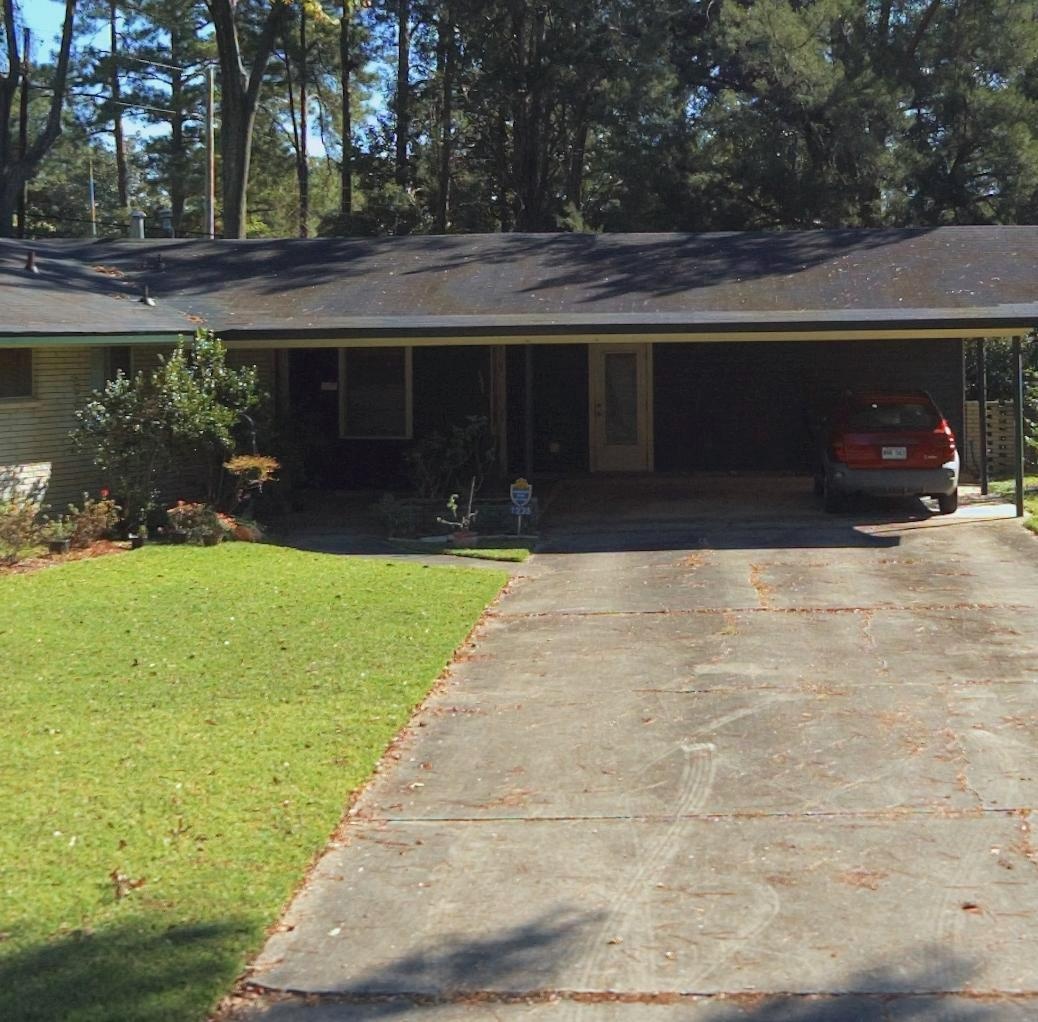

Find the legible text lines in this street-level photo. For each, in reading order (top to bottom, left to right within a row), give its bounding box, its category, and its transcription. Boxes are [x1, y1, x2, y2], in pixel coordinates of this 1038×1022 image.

[510, 505, 532, 516] StreetNumber: 1235